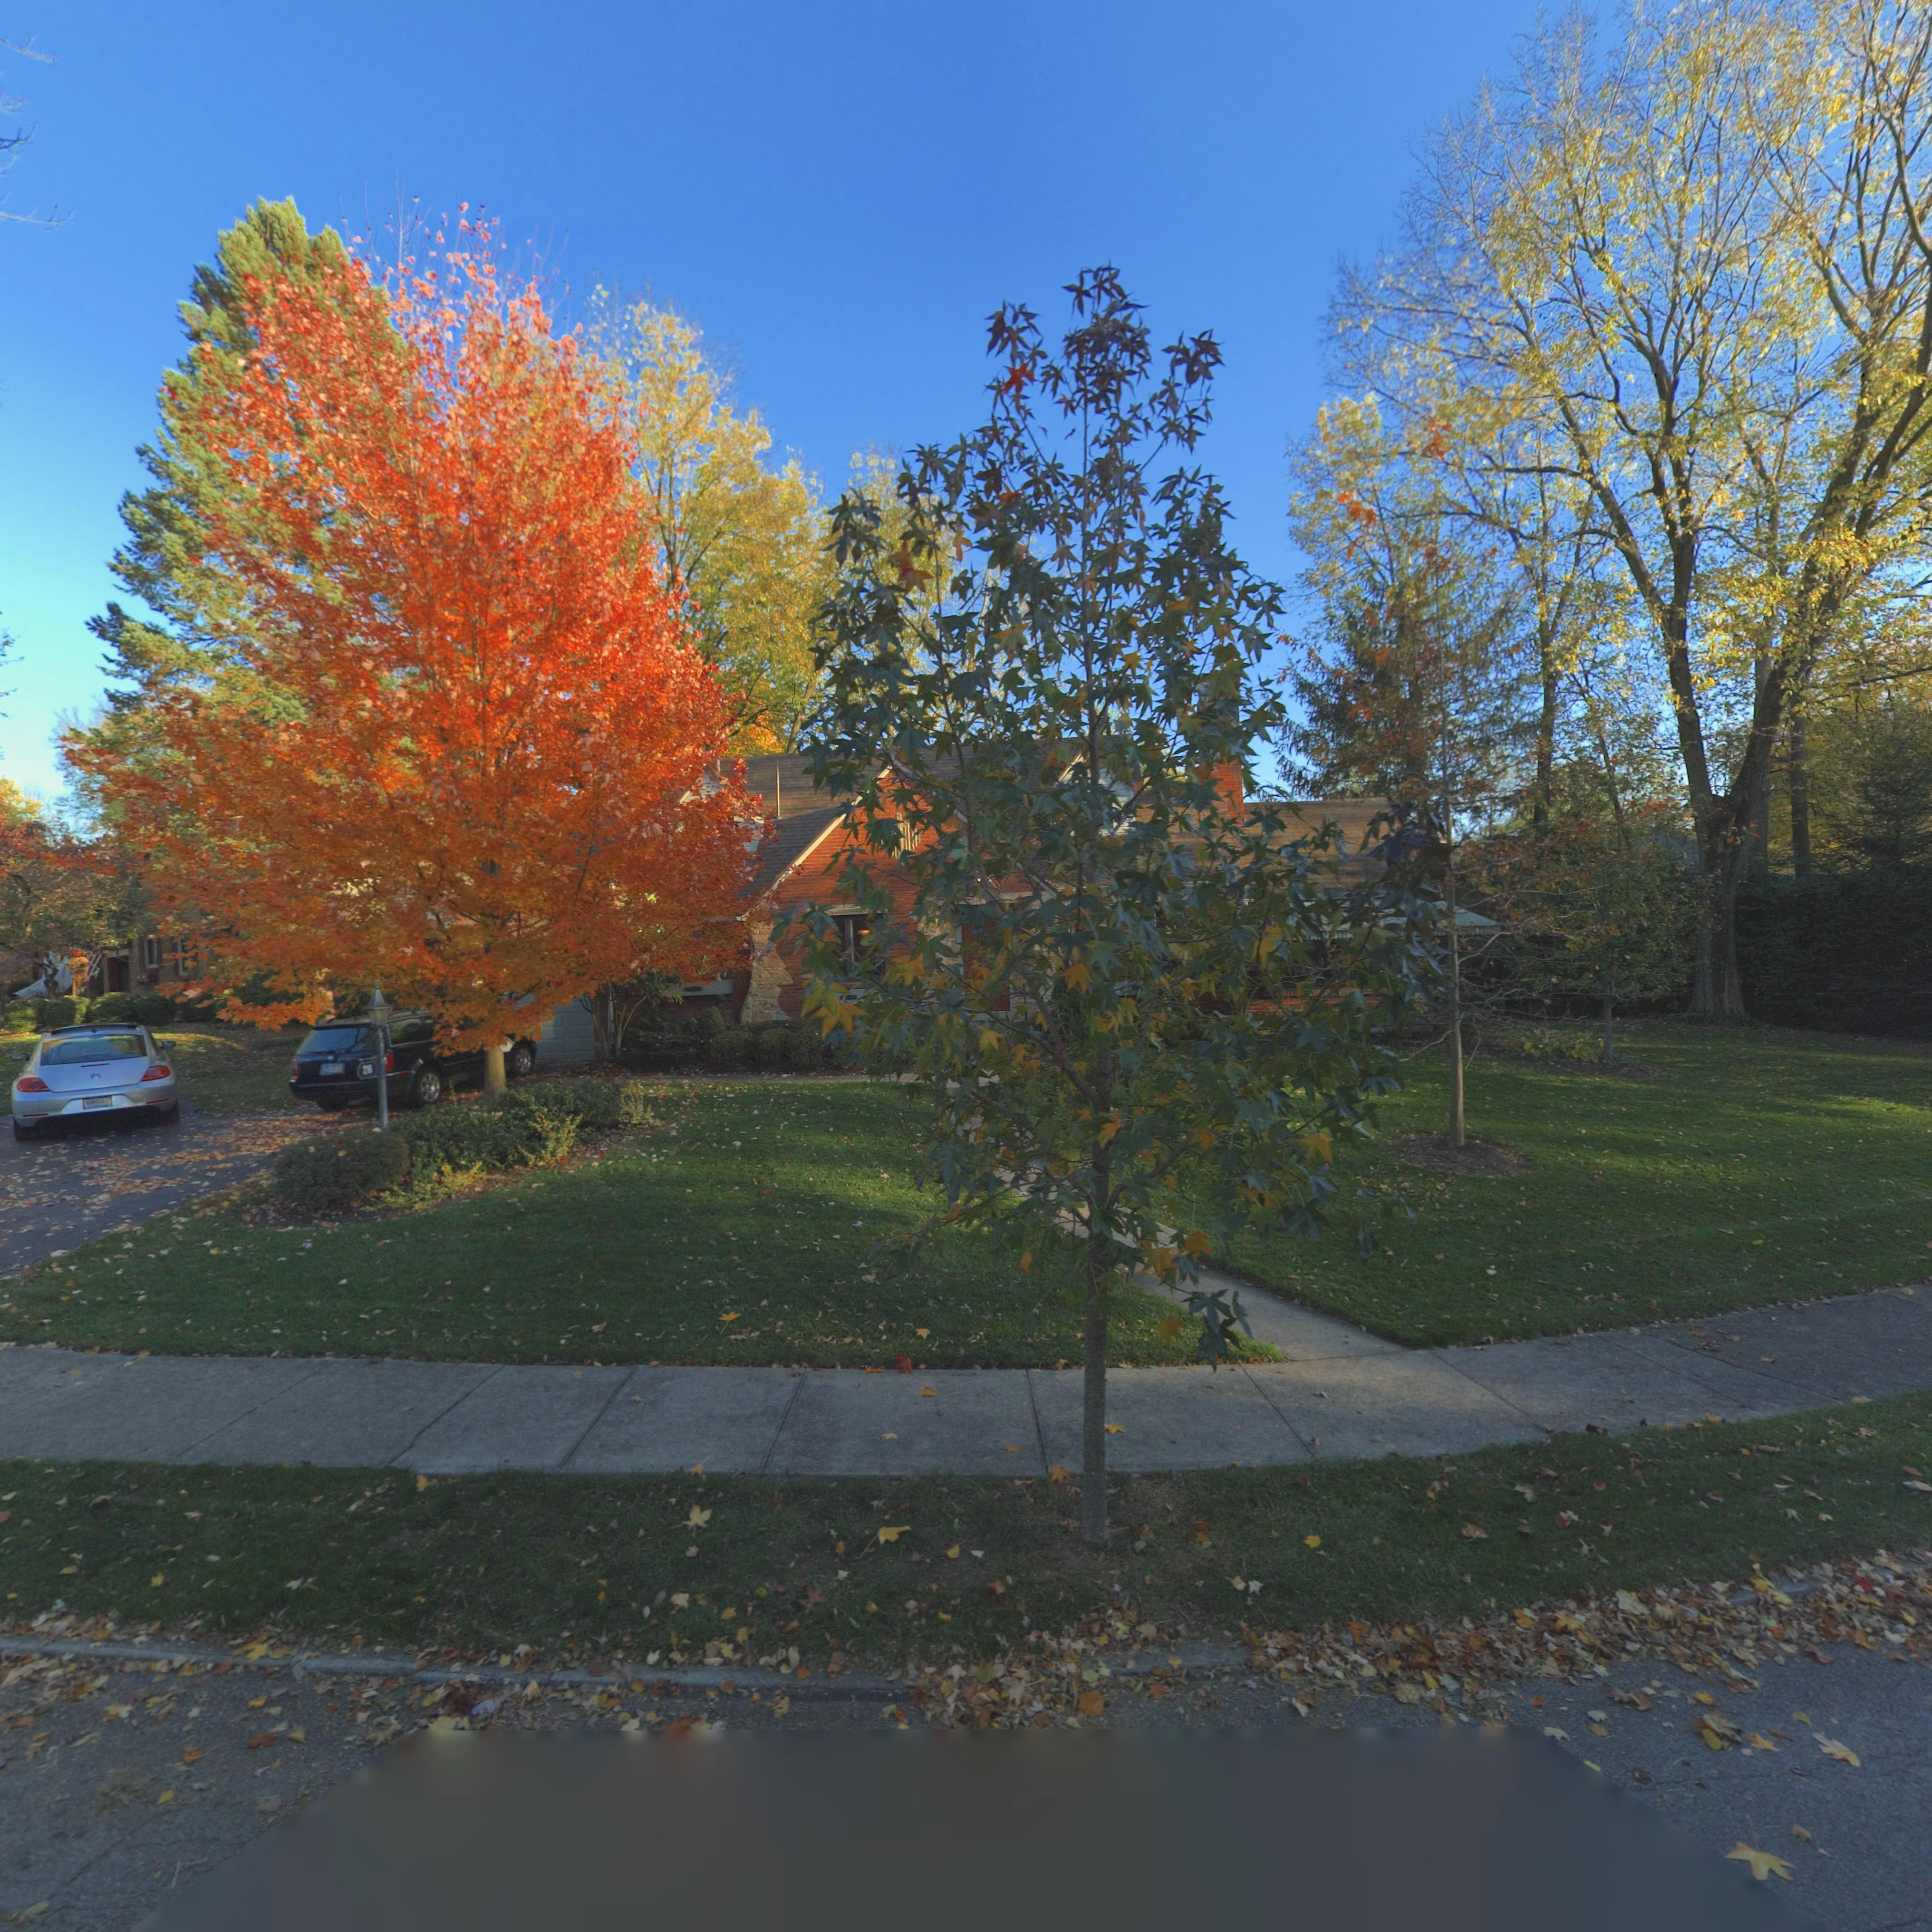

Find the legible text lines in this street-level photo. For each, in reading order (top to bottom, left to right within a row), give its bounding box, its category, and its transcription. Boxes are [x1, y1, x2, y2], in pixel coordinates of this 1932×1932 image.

[361, 1063, 374, 1077] StreetNumber: 2**